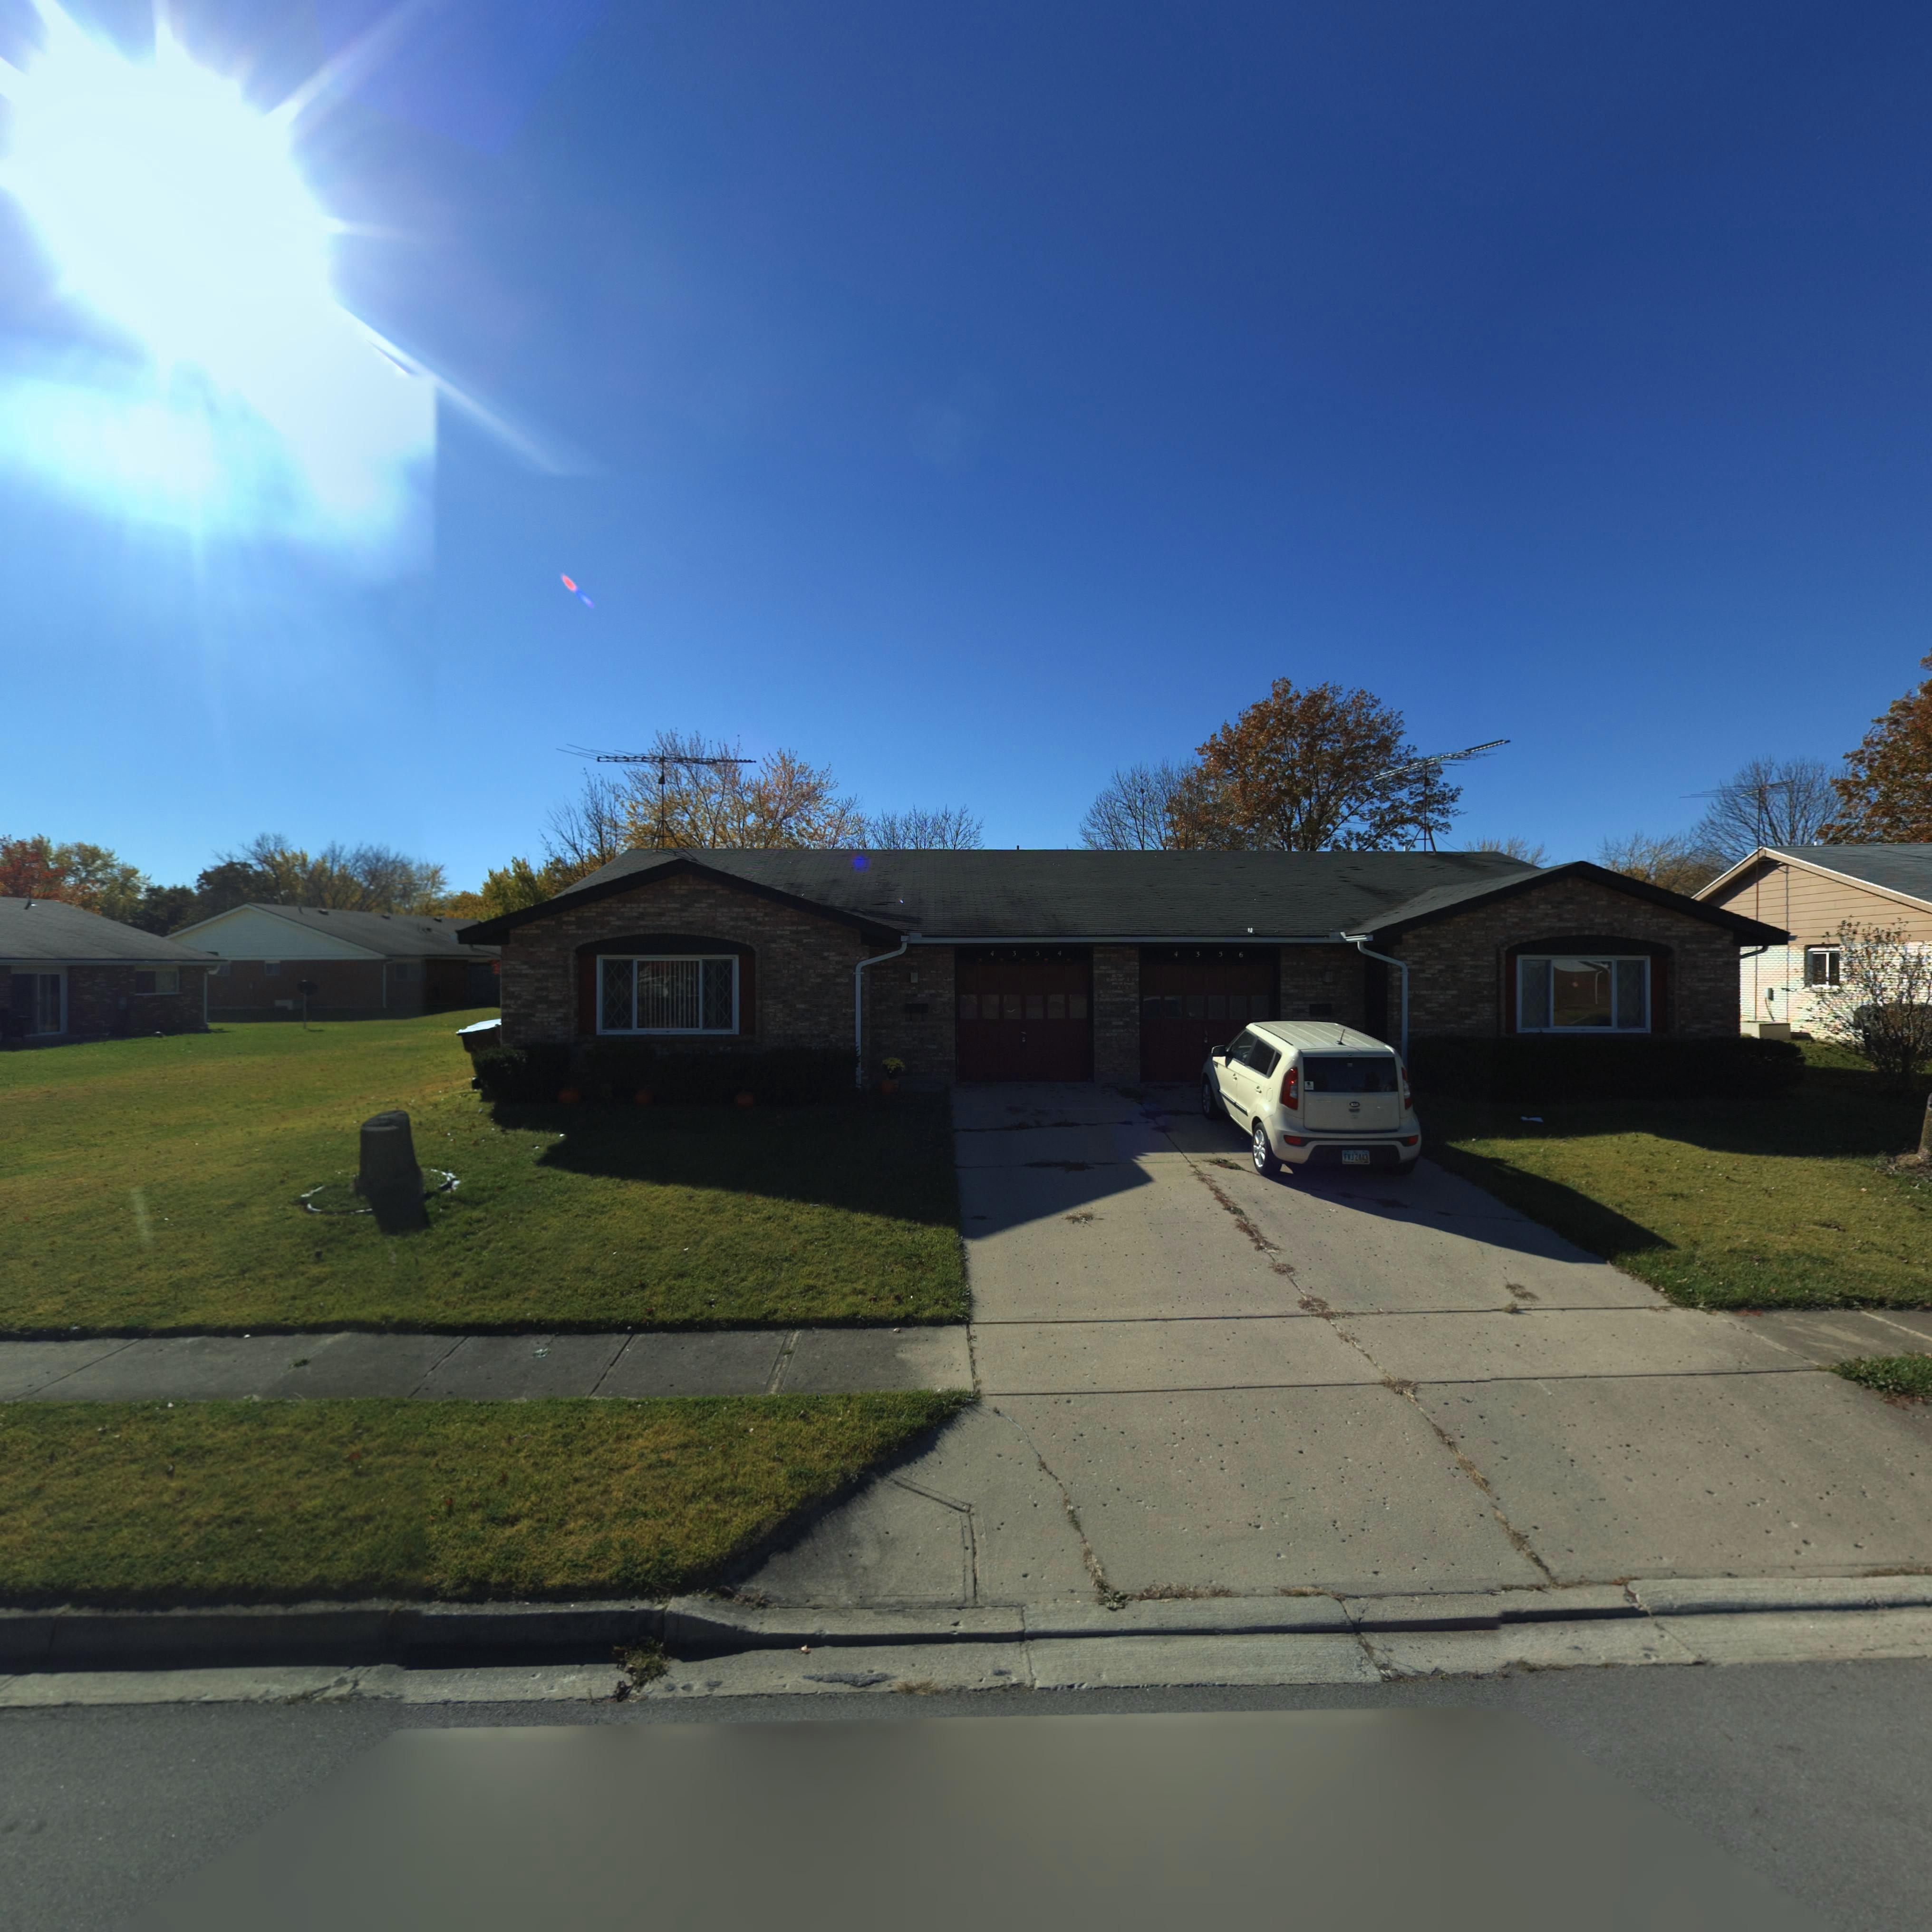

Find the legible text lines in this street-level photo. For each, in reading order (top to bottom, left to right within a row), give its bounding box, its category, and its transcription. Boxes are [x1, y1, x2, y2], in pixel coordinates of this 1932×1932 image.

[990, 950, 1063, 957] StreetNumber: 4354
[1173, 950, 1244, 958] StreetNumber: 4356